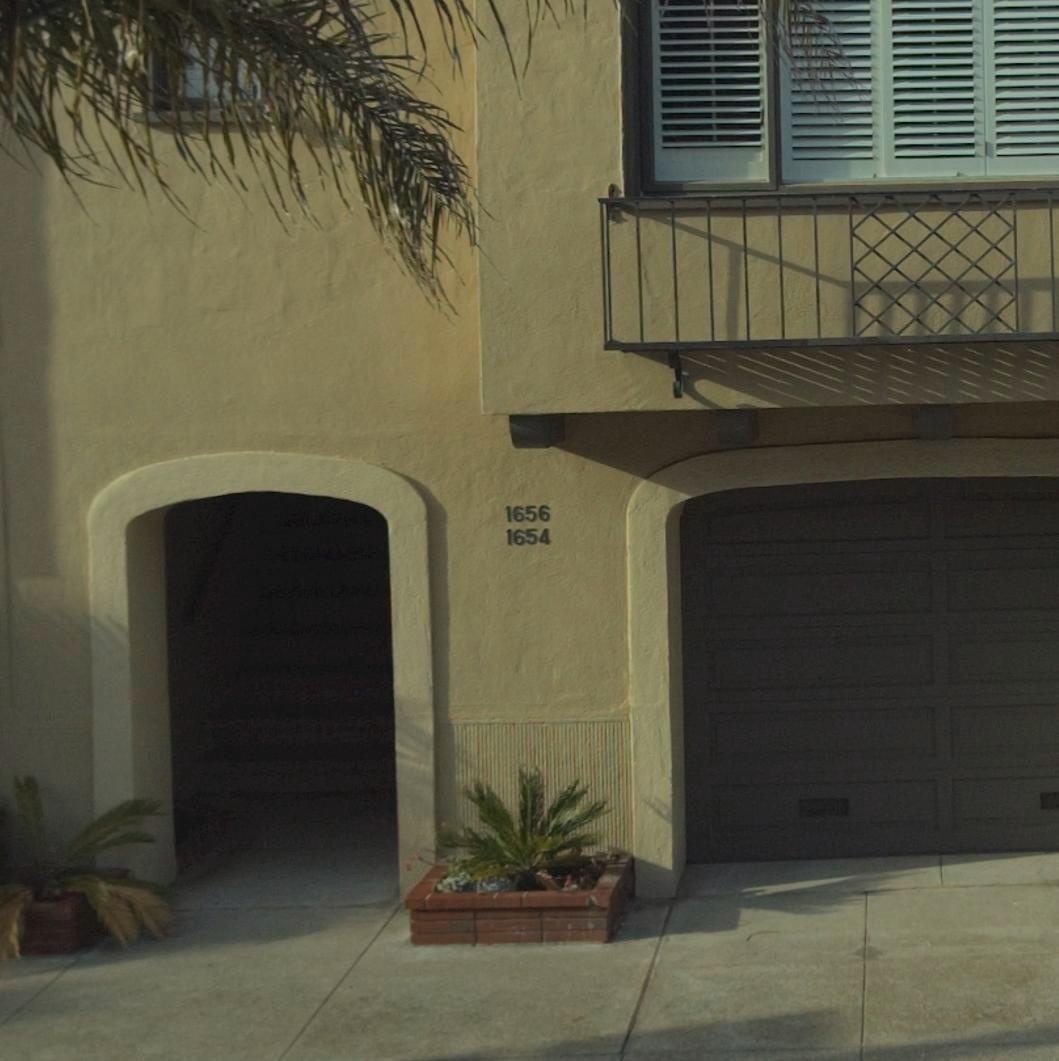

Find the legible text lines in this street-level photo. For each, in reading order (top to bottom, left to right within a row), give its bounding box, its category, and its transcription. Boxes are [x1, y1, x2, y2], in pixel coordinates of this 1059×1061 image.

[502, 501, 553, 526] StreetNumber: 1656
[502, 525, 554, 549] StreetNumber: 1654